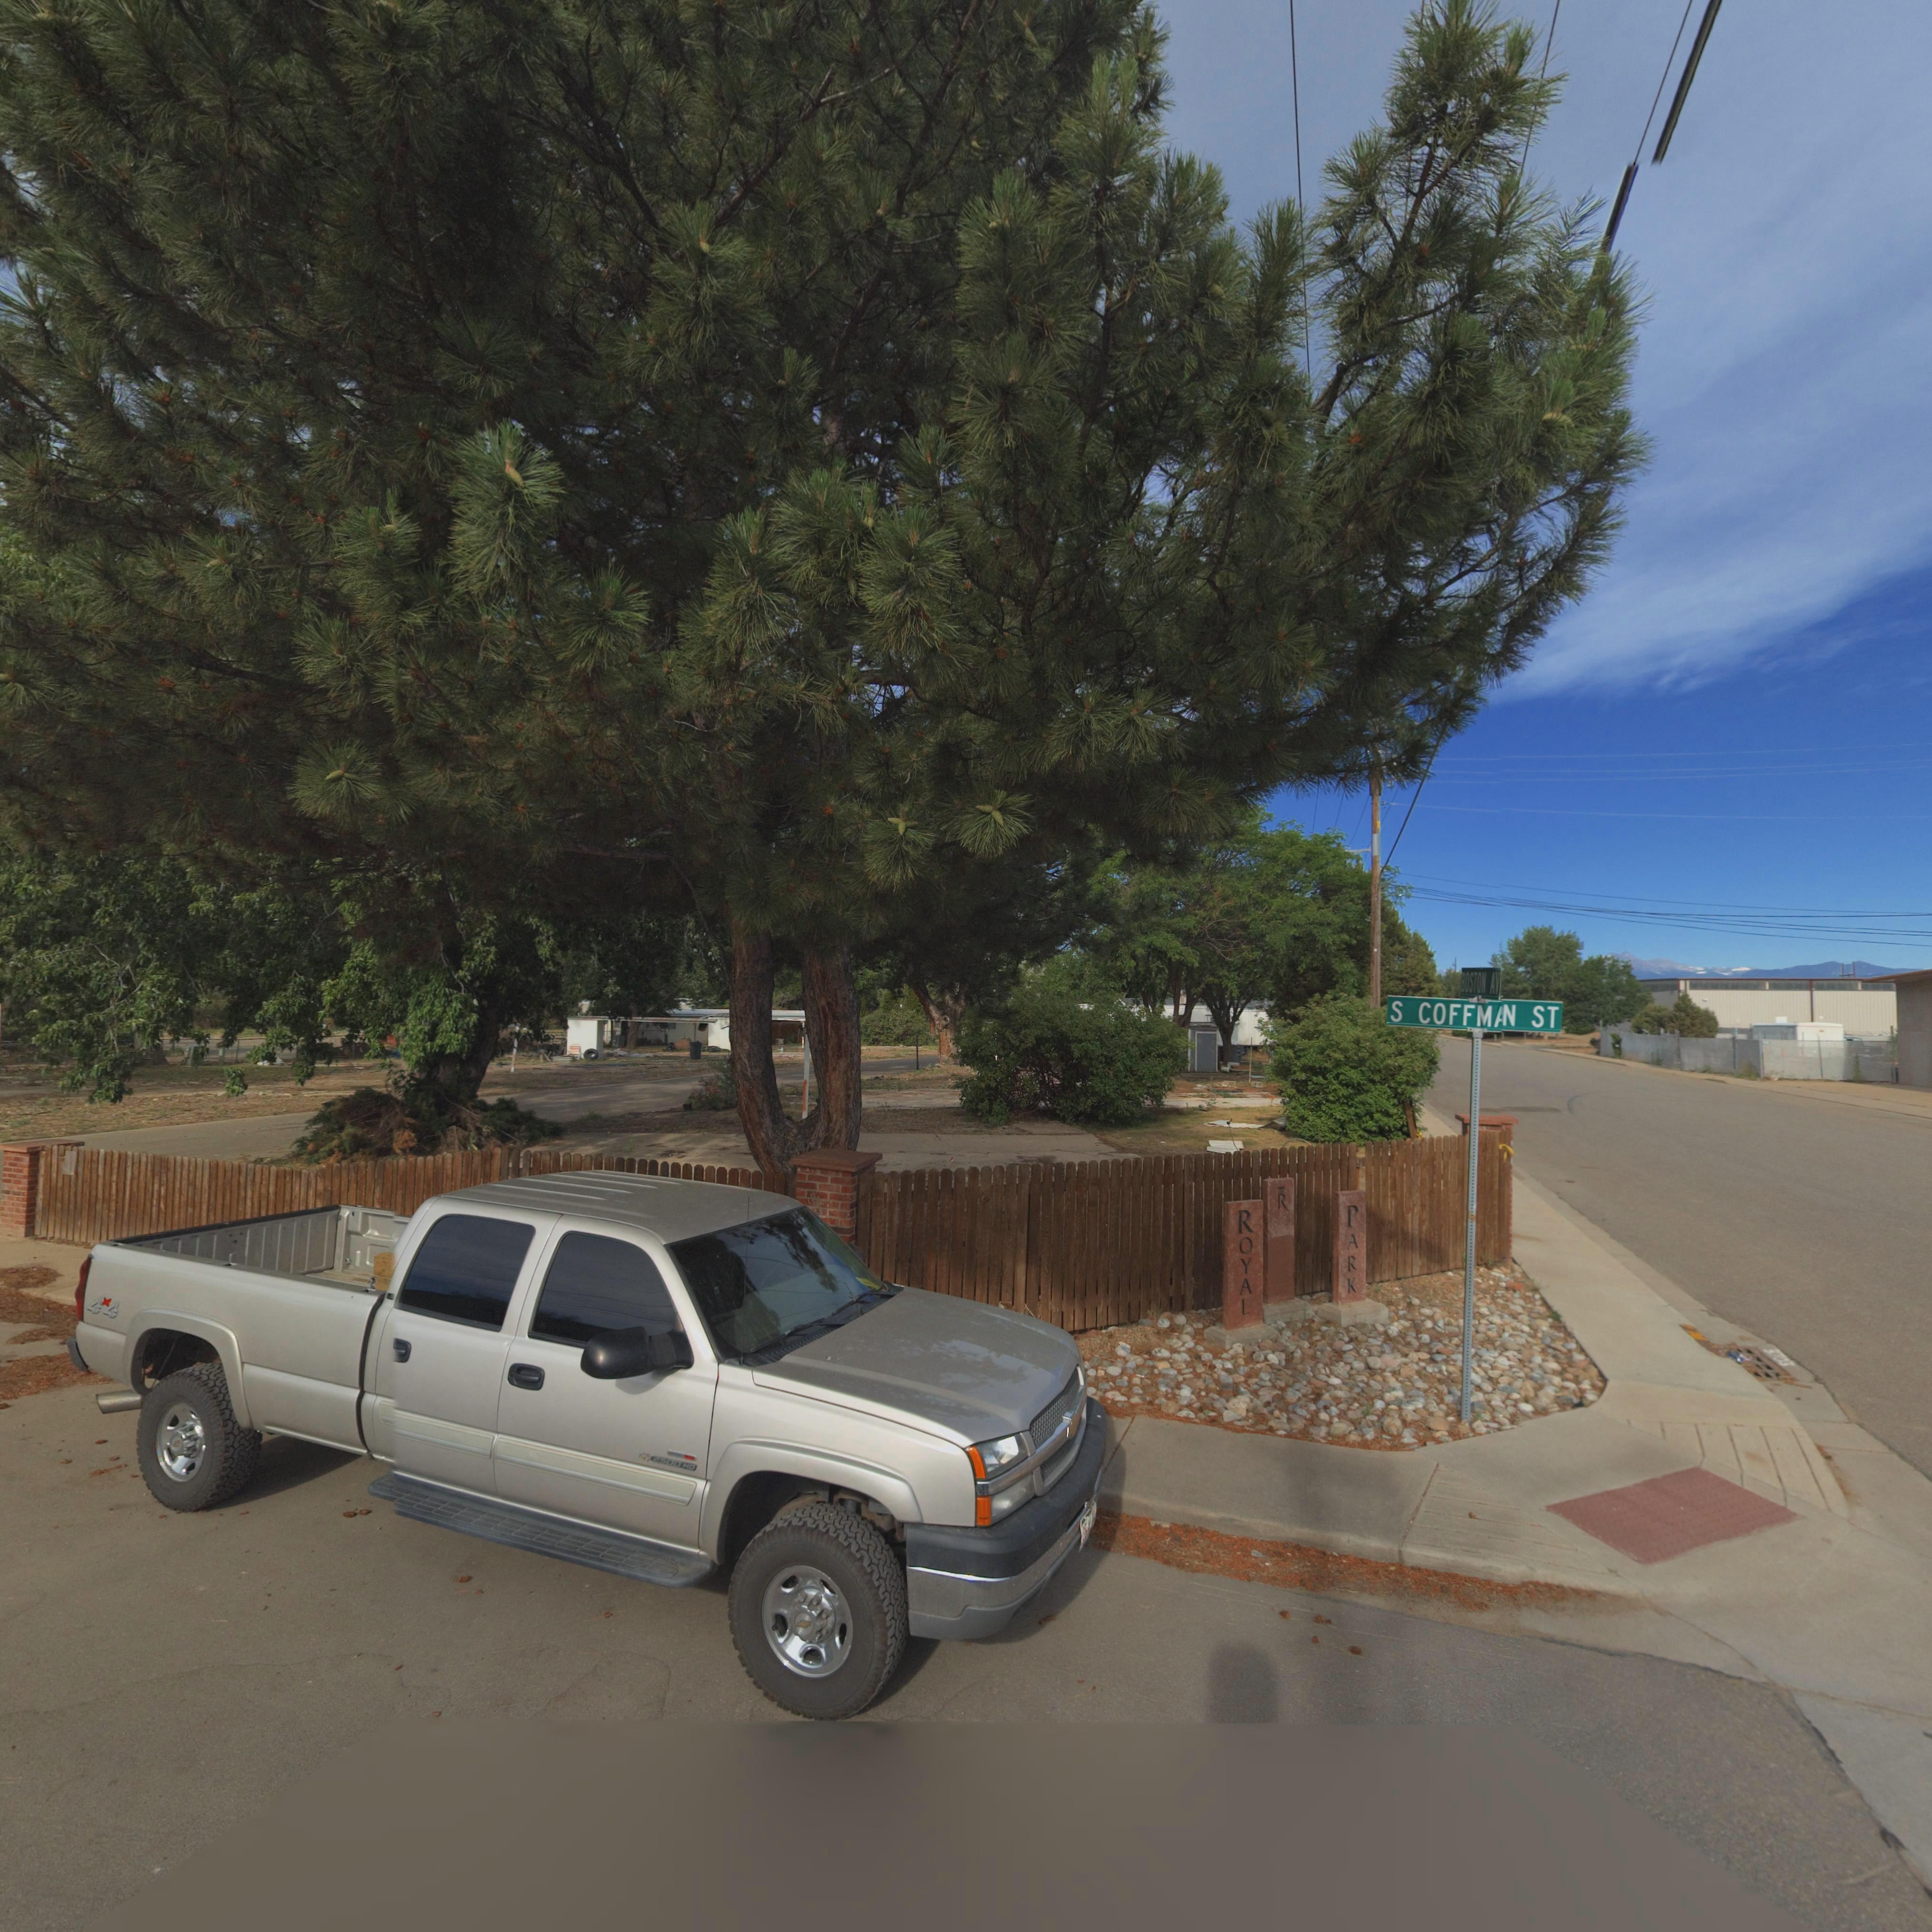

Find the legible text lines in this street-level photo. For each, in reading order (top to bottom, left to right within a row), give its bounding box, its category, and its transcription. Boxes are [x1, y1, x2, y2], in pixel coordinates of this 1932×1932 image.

[1460, 971, 1500, 994] StreetName: BOSTON AV
[1389, 999, 1560, 1030] StreetName: S COFFM*N ST